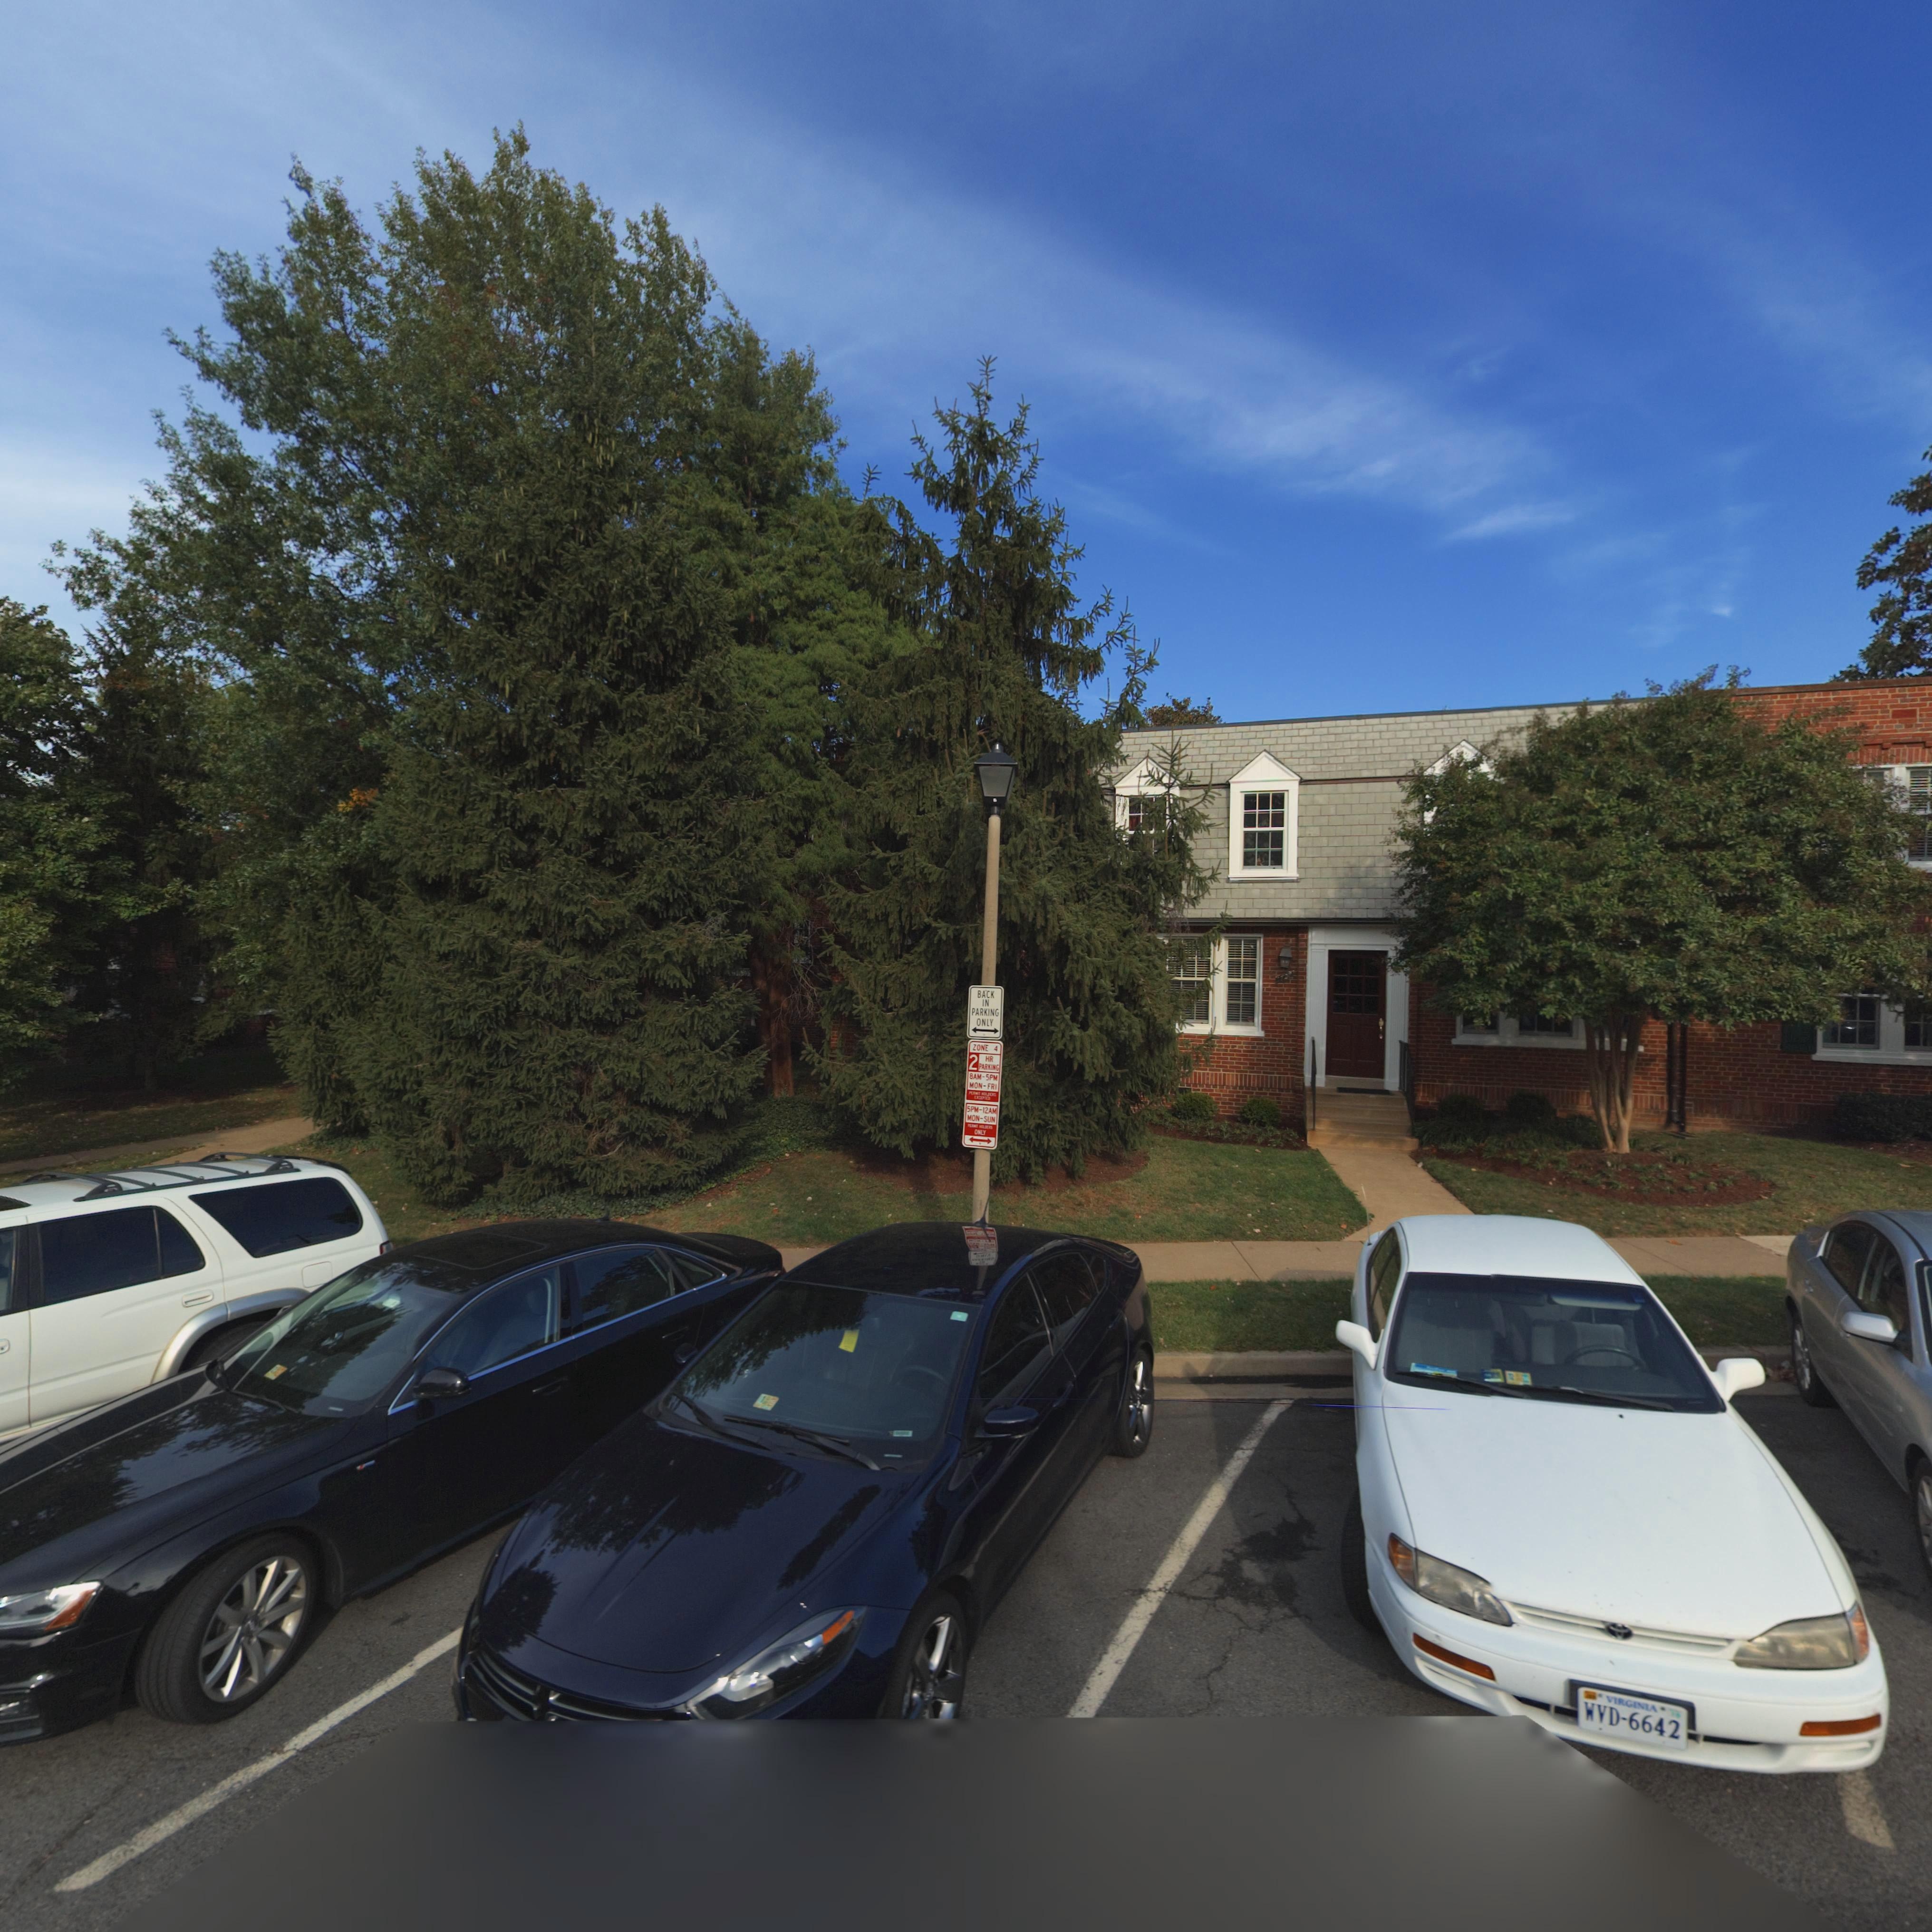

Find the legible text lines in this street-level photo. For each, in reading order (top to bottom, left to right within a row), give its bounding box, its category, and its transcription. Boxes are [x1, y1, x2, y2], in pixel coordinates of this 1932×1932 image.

[1275, 970, 1294, 984] StreetNumber: *7**
[977, 990, 995, 999] None: BACK
[982, 998, 989, 1008] None: IN
[971, 1007, 999, 1017] None: PARKING
[976, 1018, 994, 1027] None: ONLY
[972, 1043, 998, 1052] None: ZONE 4
[967, 1054, 978, 1071] None: 2
[978, 1063, 999, 1071] None: PARKING
[985, 1055, 994, 1063] None: HR
[969, 1072, 998, 1081] None: 8AM-5PM
[969, 1082, 998, 1091] None: MON-FRI
[966, 1105, 997, 1115] None: 5PM-12AM
[966, 1113, 995, 1123] None: MON-SUN
[974, 1129, 987, 1136] None: ONLY
[1605, 1694, 1658, 1714] None: VIRGINIA
[1584, 1700, 1682, 1741] None: WVD*6642